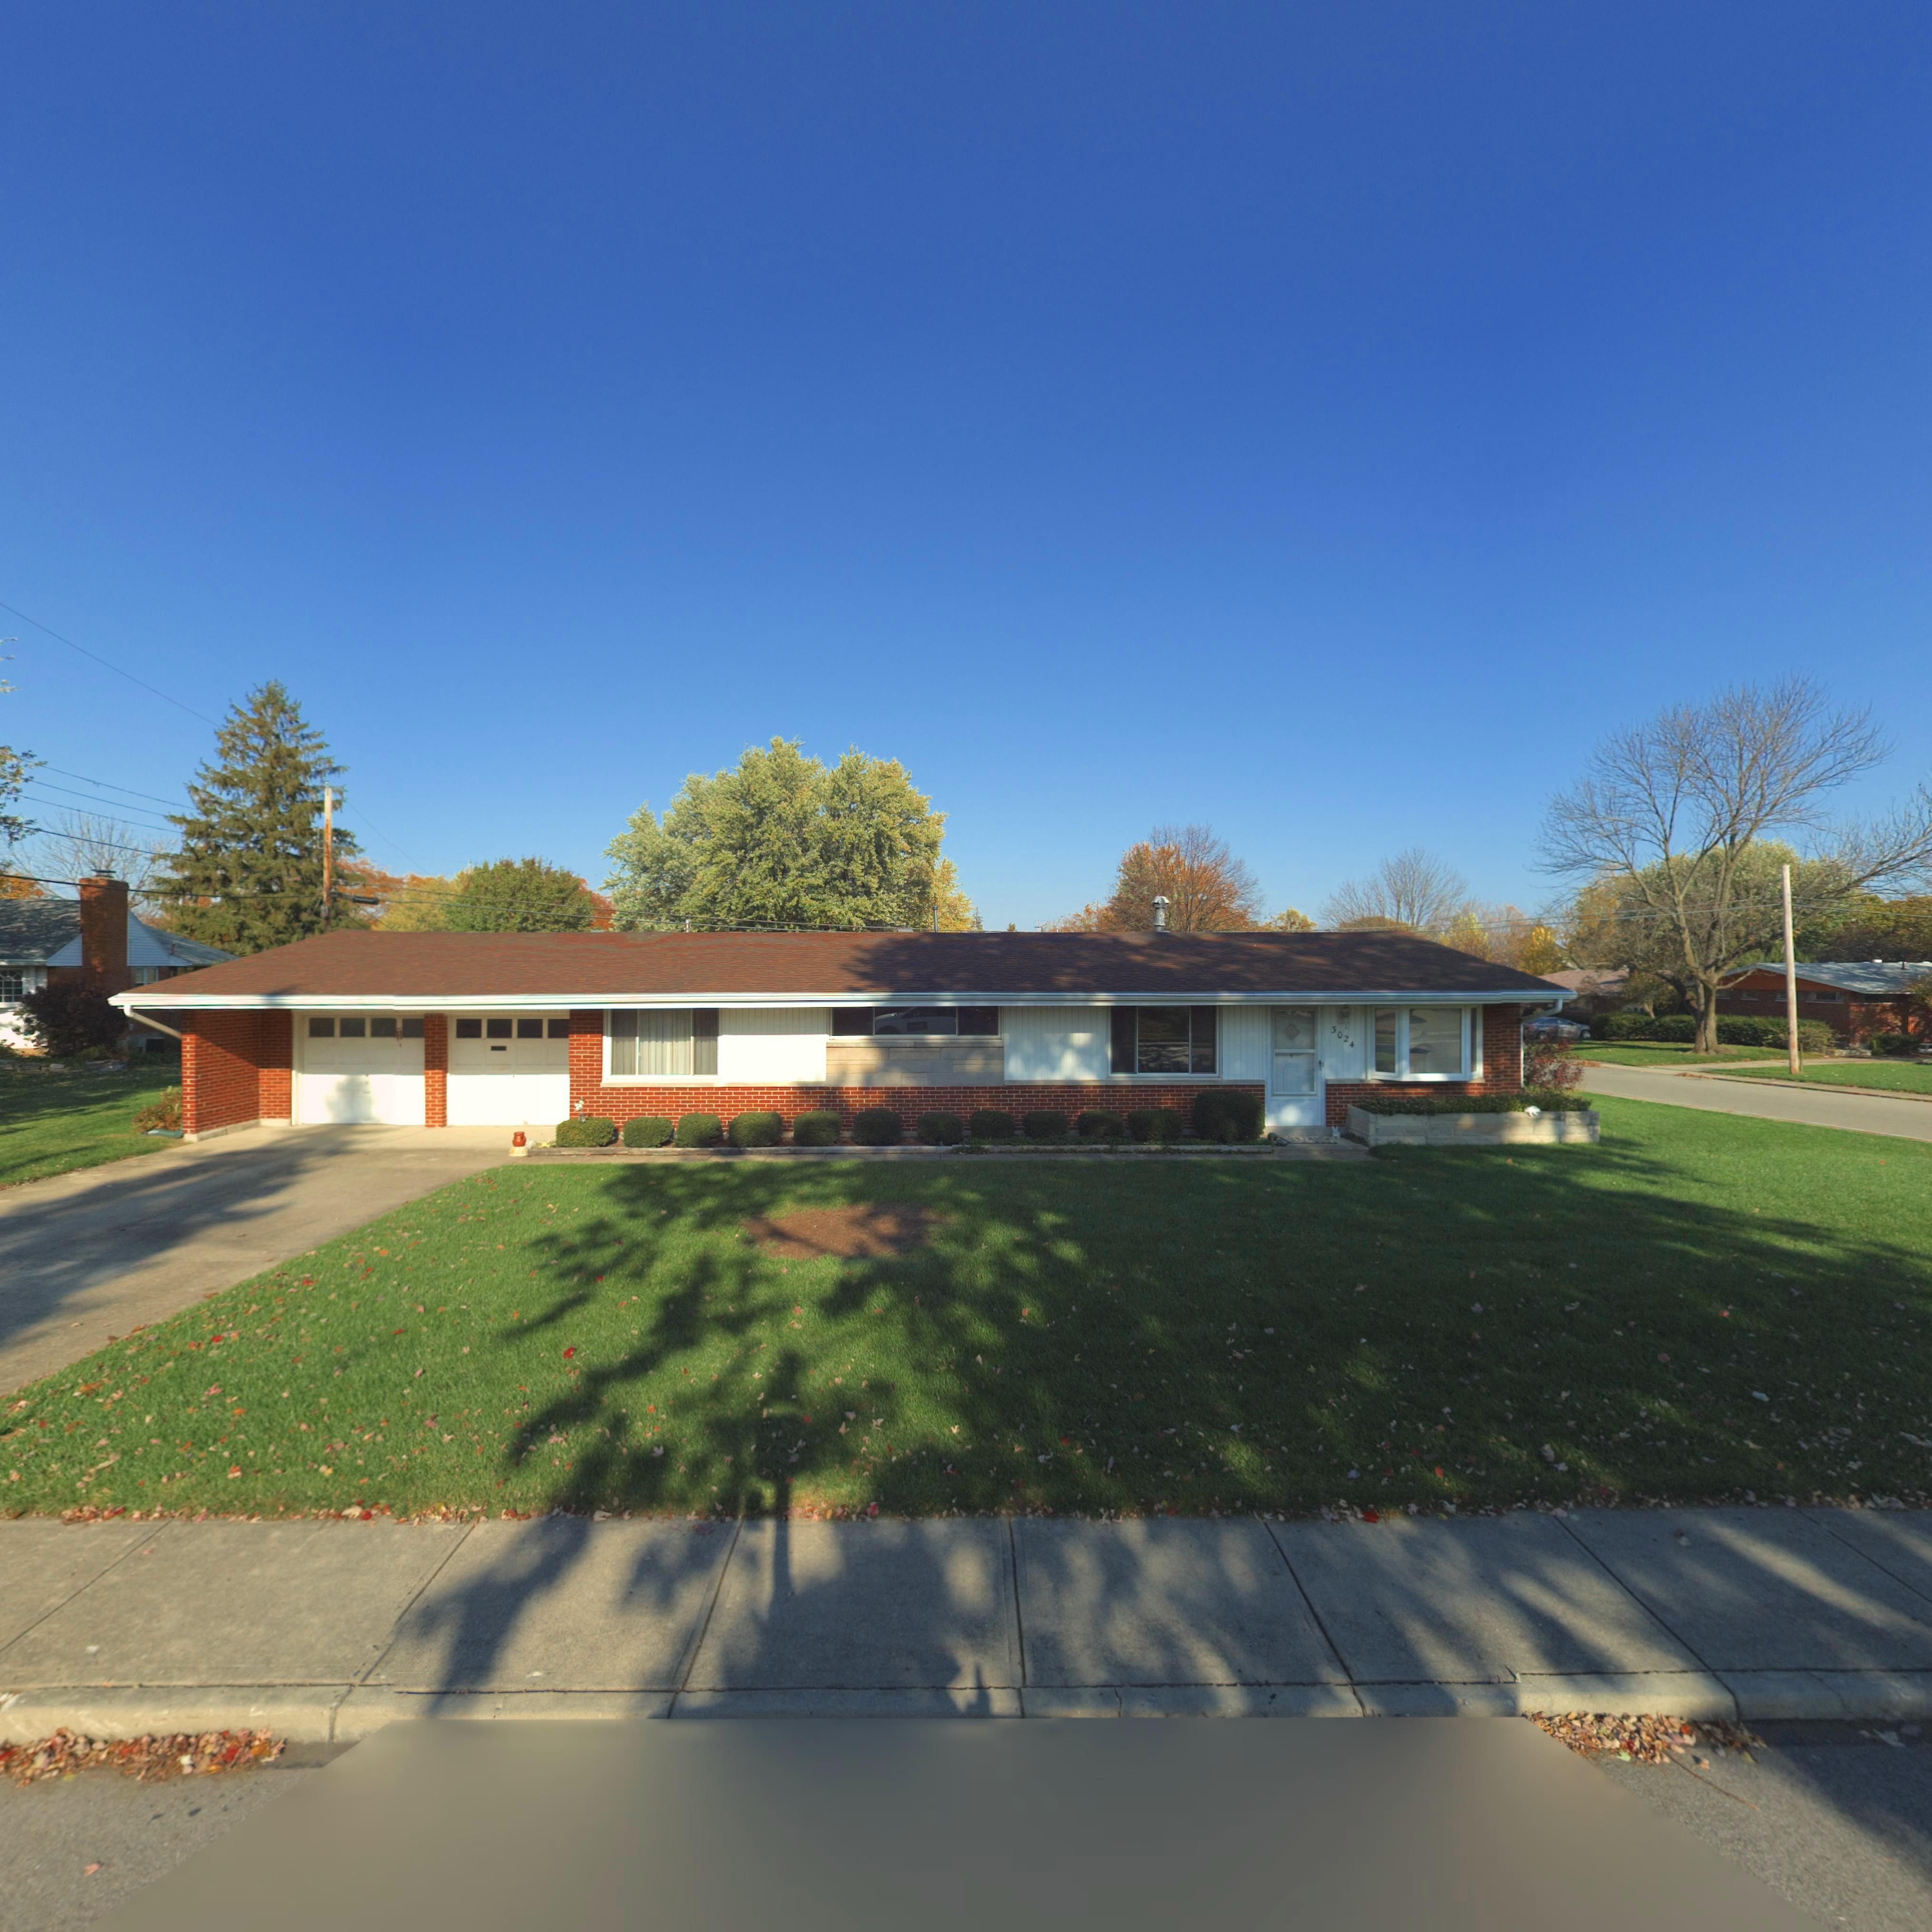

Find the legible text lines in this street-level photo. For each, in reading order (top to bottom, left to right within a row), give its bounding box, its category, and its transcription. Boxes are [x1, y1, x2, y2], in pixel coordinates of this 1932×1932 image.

[1330, 1024, 1356, 1049] StreetNumber: 3024